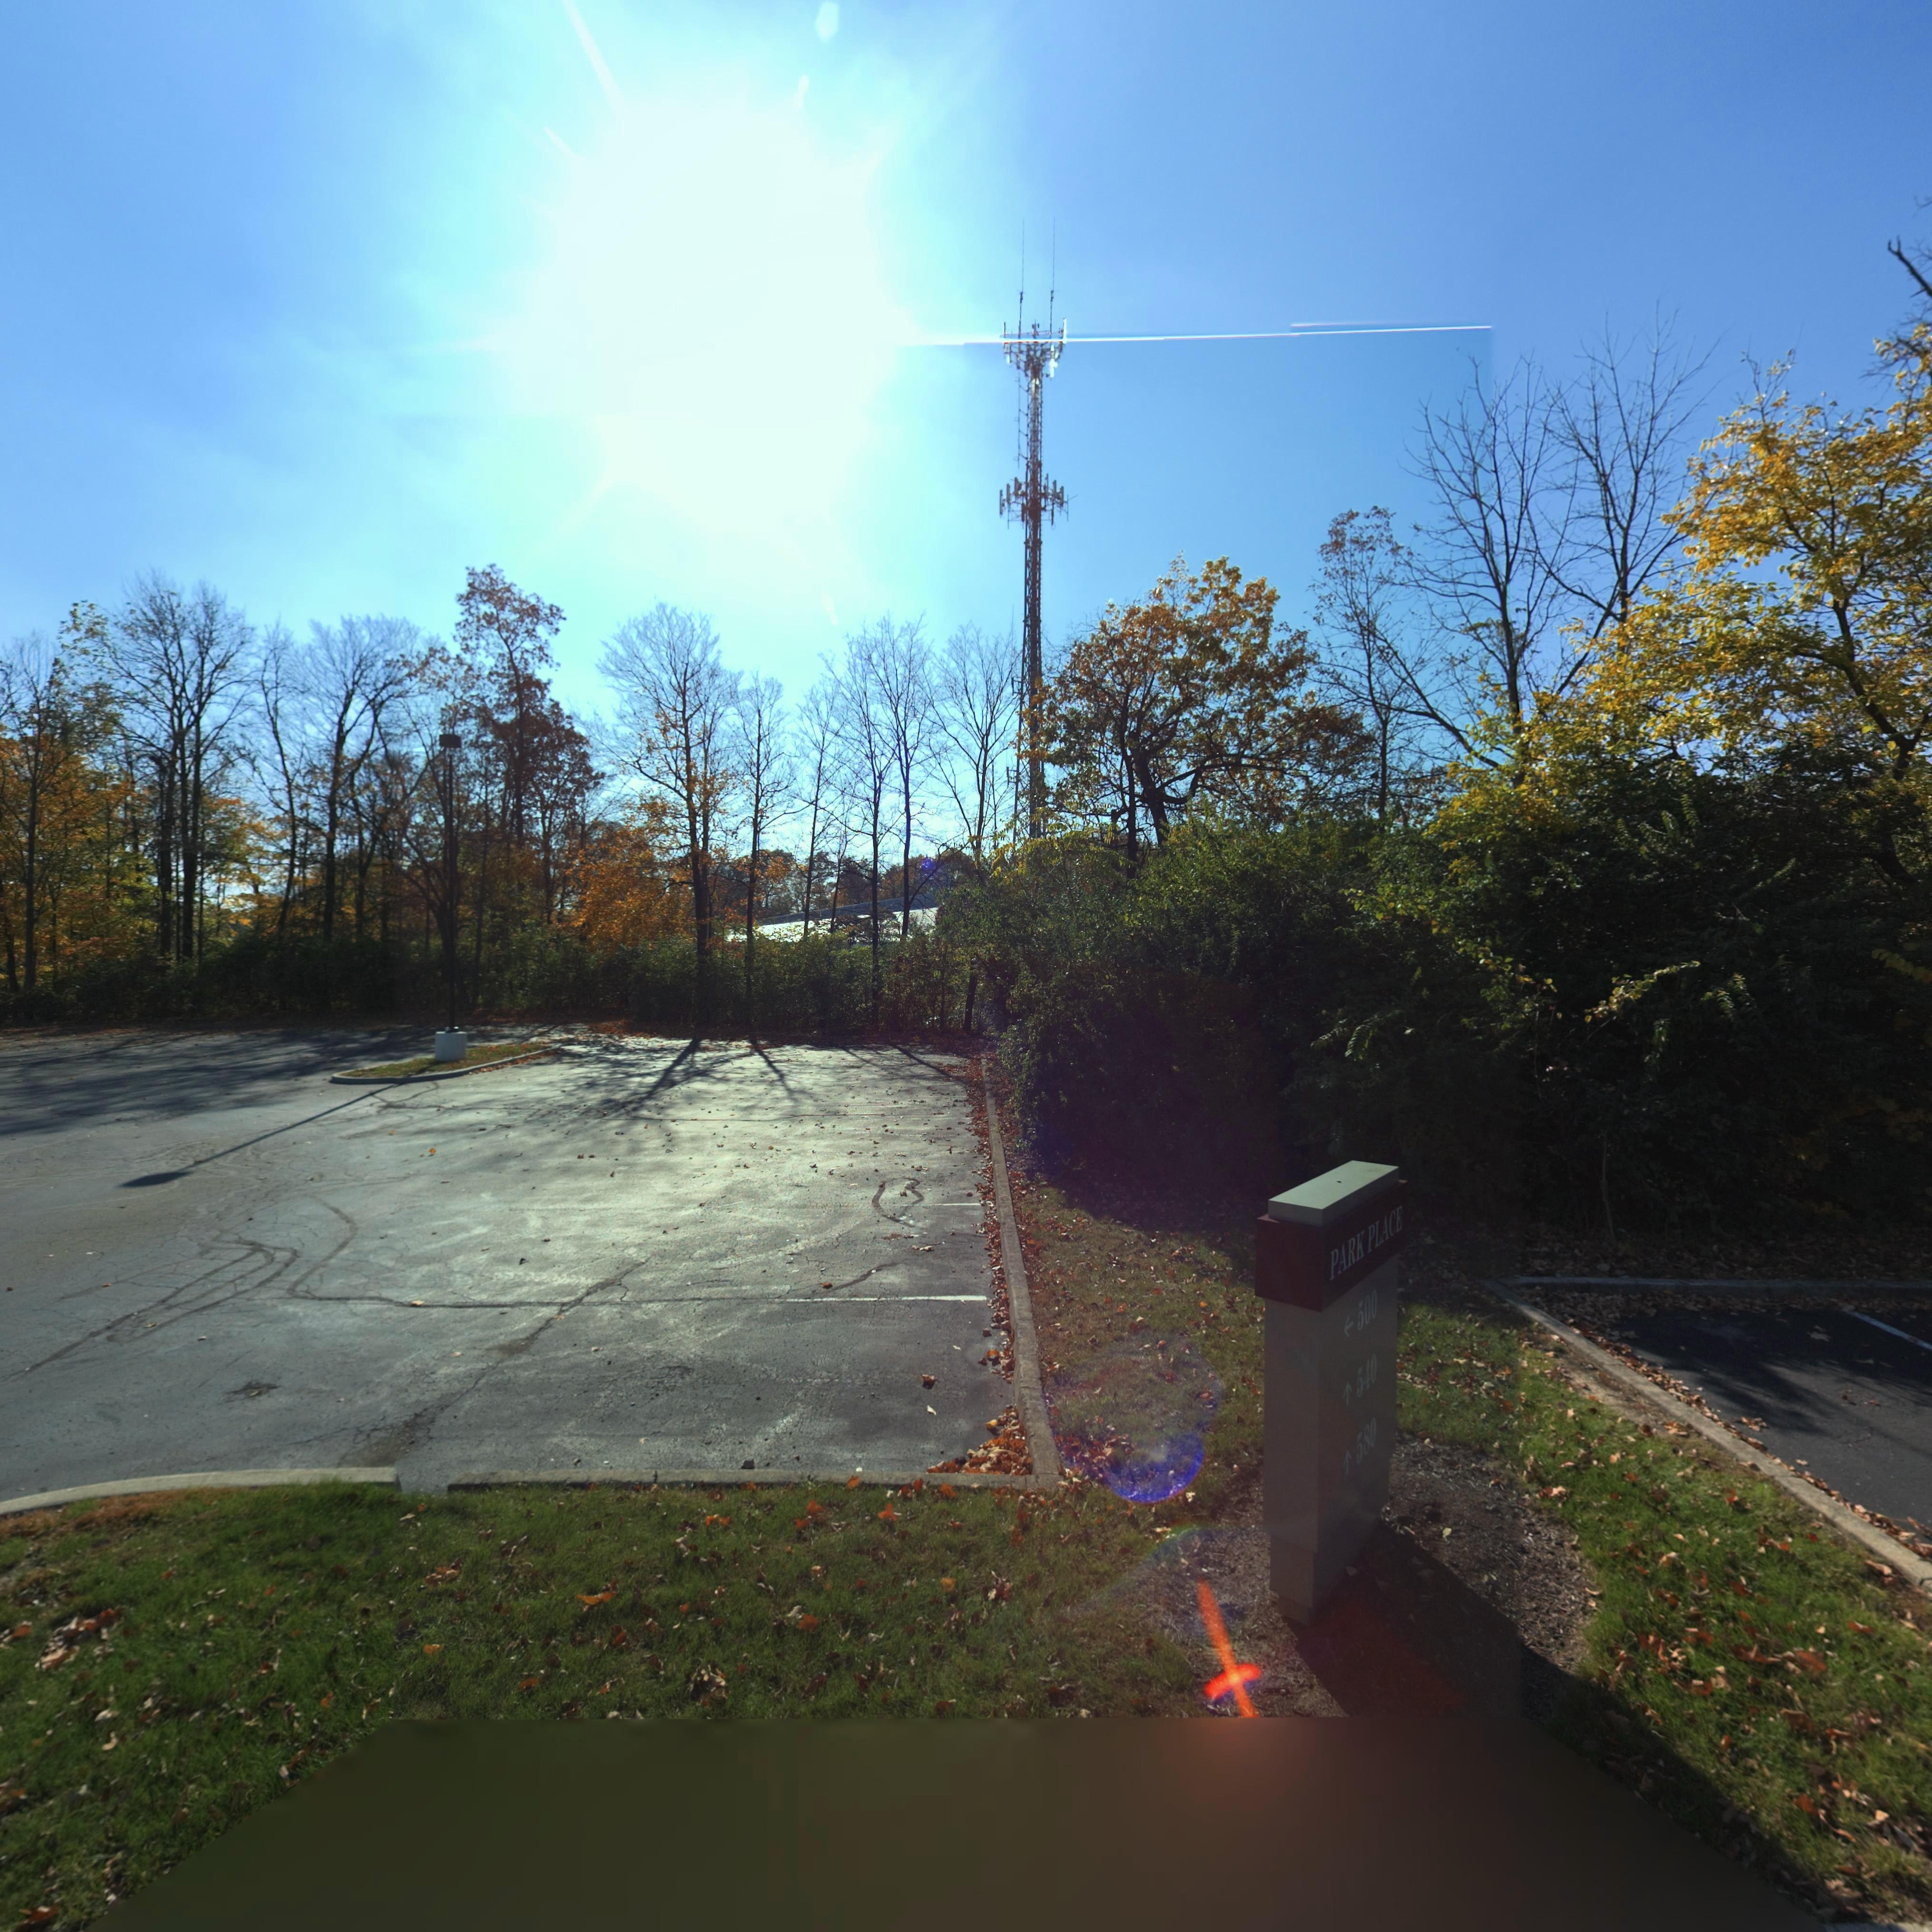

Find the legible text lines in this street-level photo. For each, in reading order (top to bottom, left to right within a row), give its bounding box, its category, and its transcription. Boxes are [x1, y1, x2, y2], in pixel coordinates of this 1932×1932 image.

[1329, 1203, 1404, 1284] None: PARK PLACE
[1356, 1286, 1378, 1335] None: 500
[1355, 1352, 1377, 1402] None: 540
[1355, 1413, 1376, 1467] None: 580